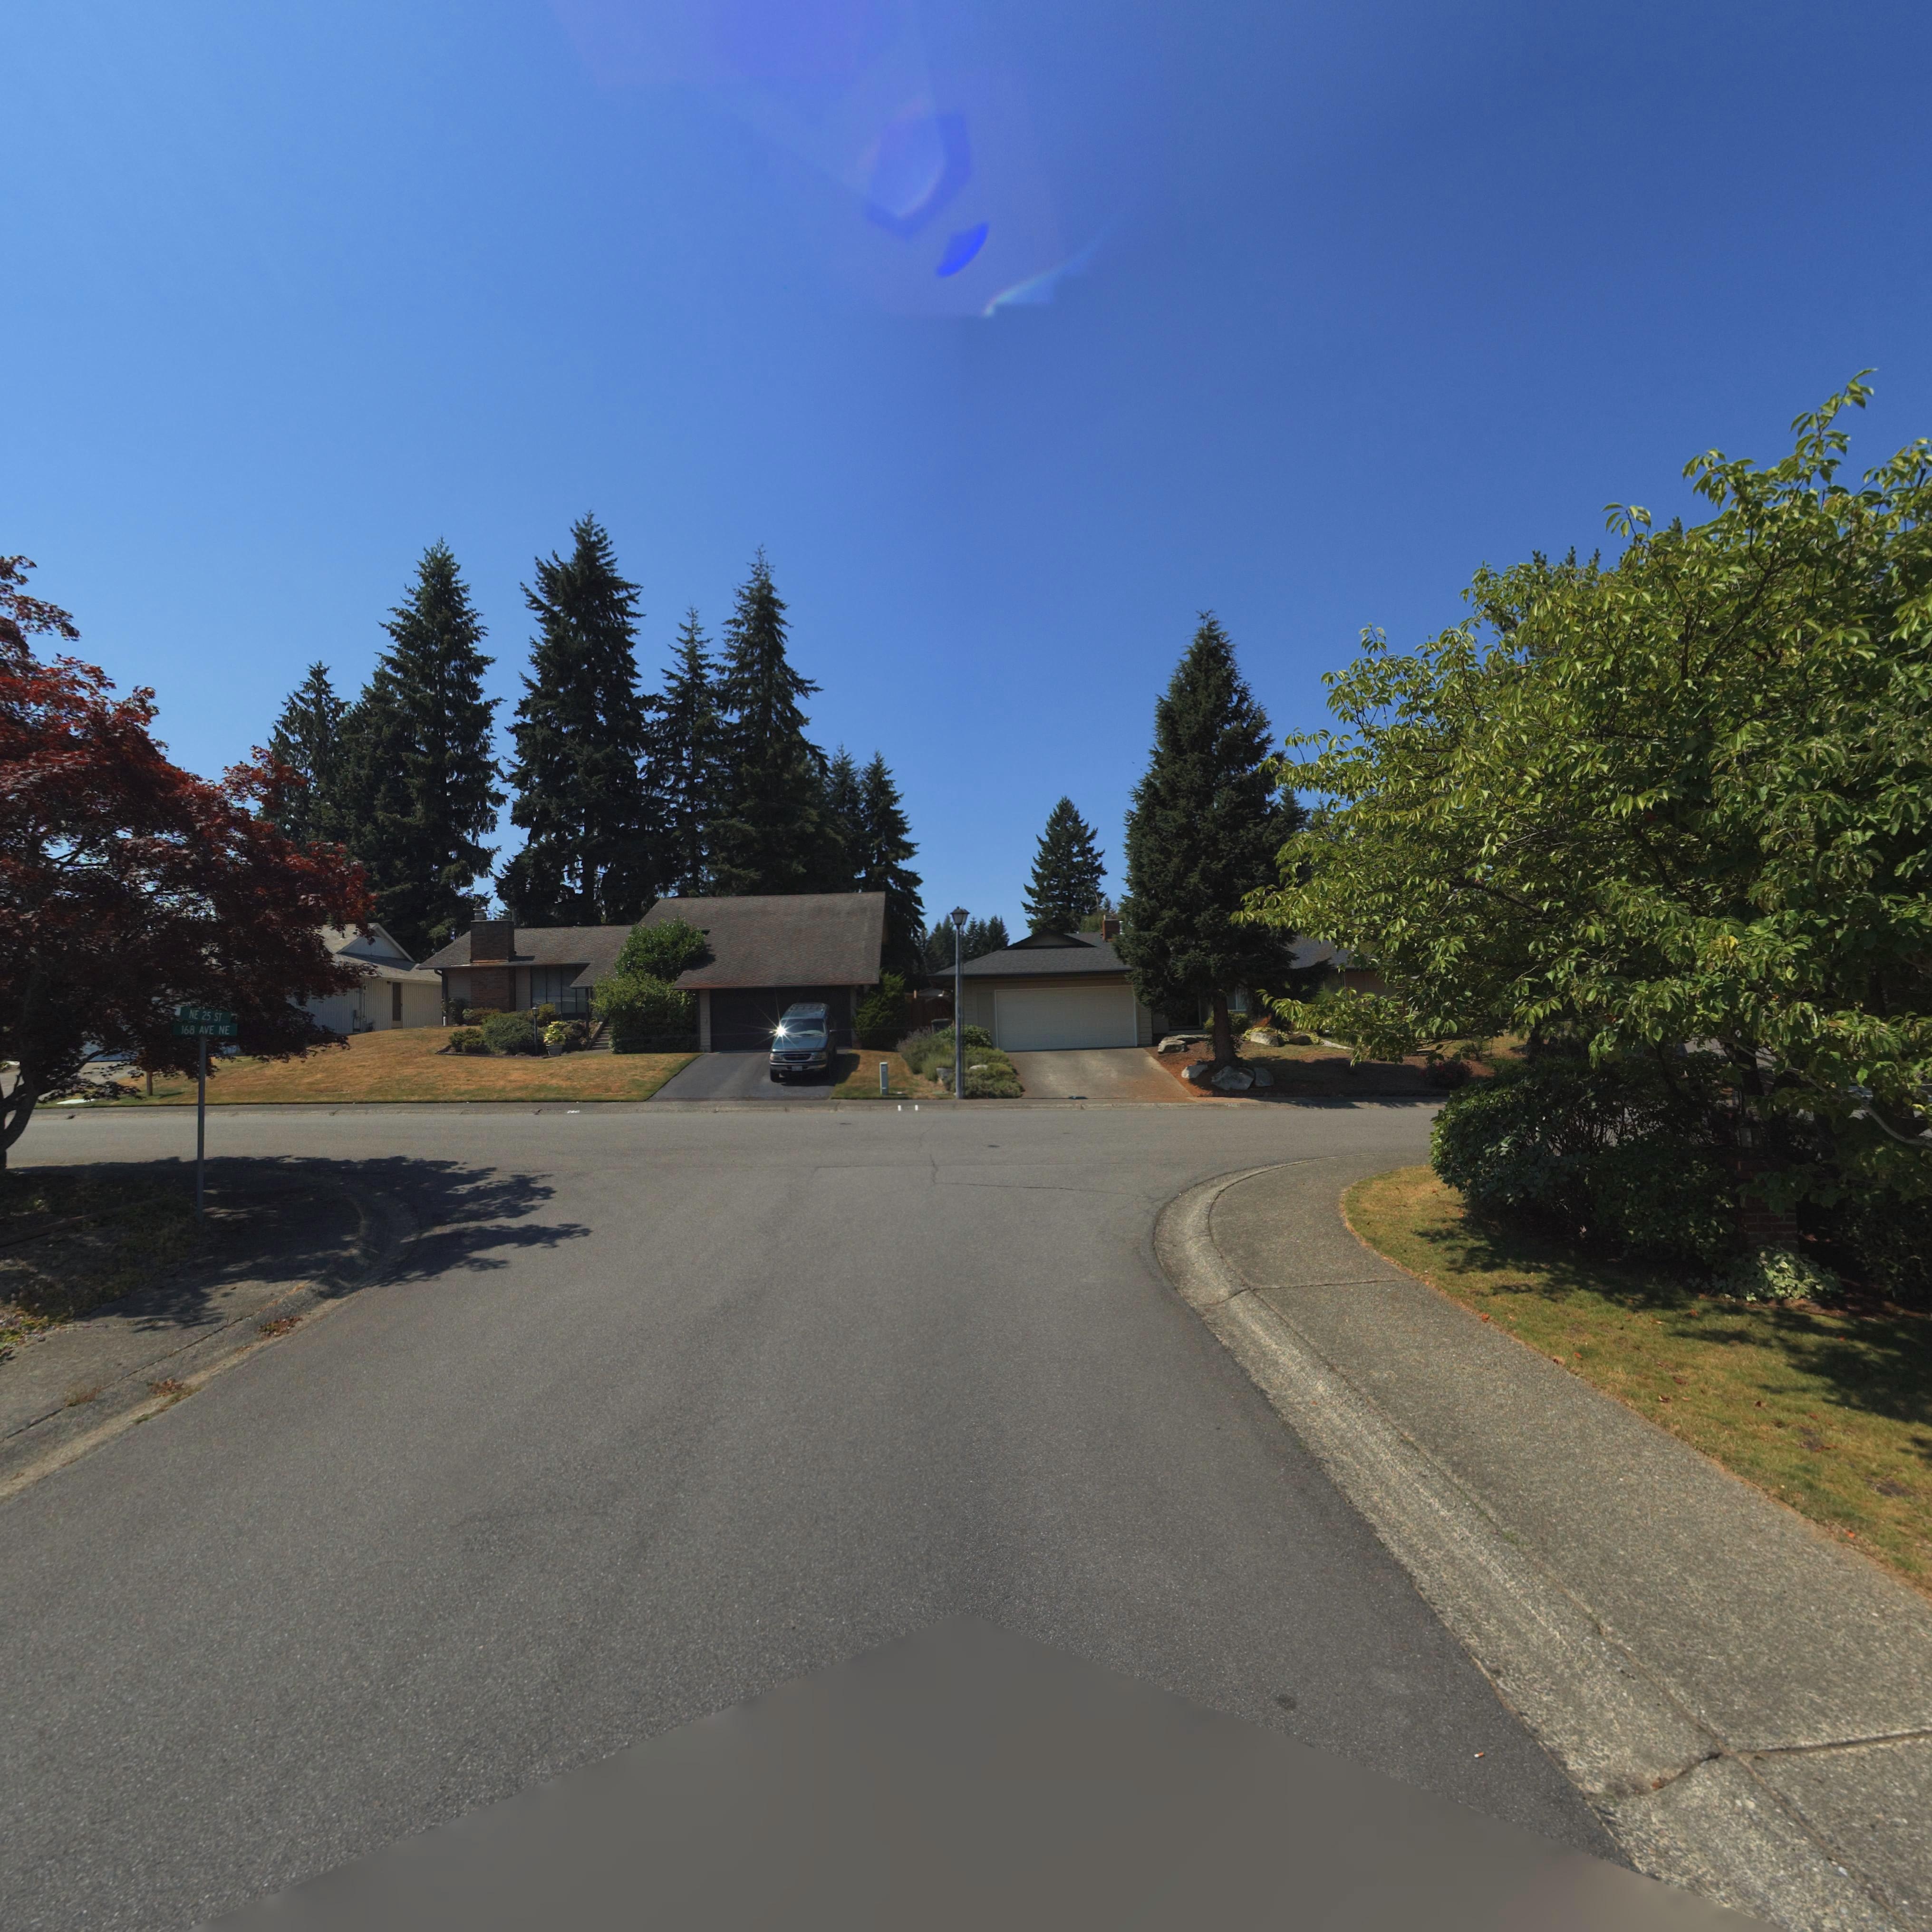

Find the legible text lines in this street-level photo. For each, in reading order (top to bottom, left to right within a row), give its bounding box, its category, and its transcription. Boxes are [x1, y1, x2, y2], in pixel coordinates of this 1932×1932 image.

[189, 1009, 222, 1021] StreetName: NE 25 ST
[182, 1025, 230, 1034] StreetName: 168 AVE NE